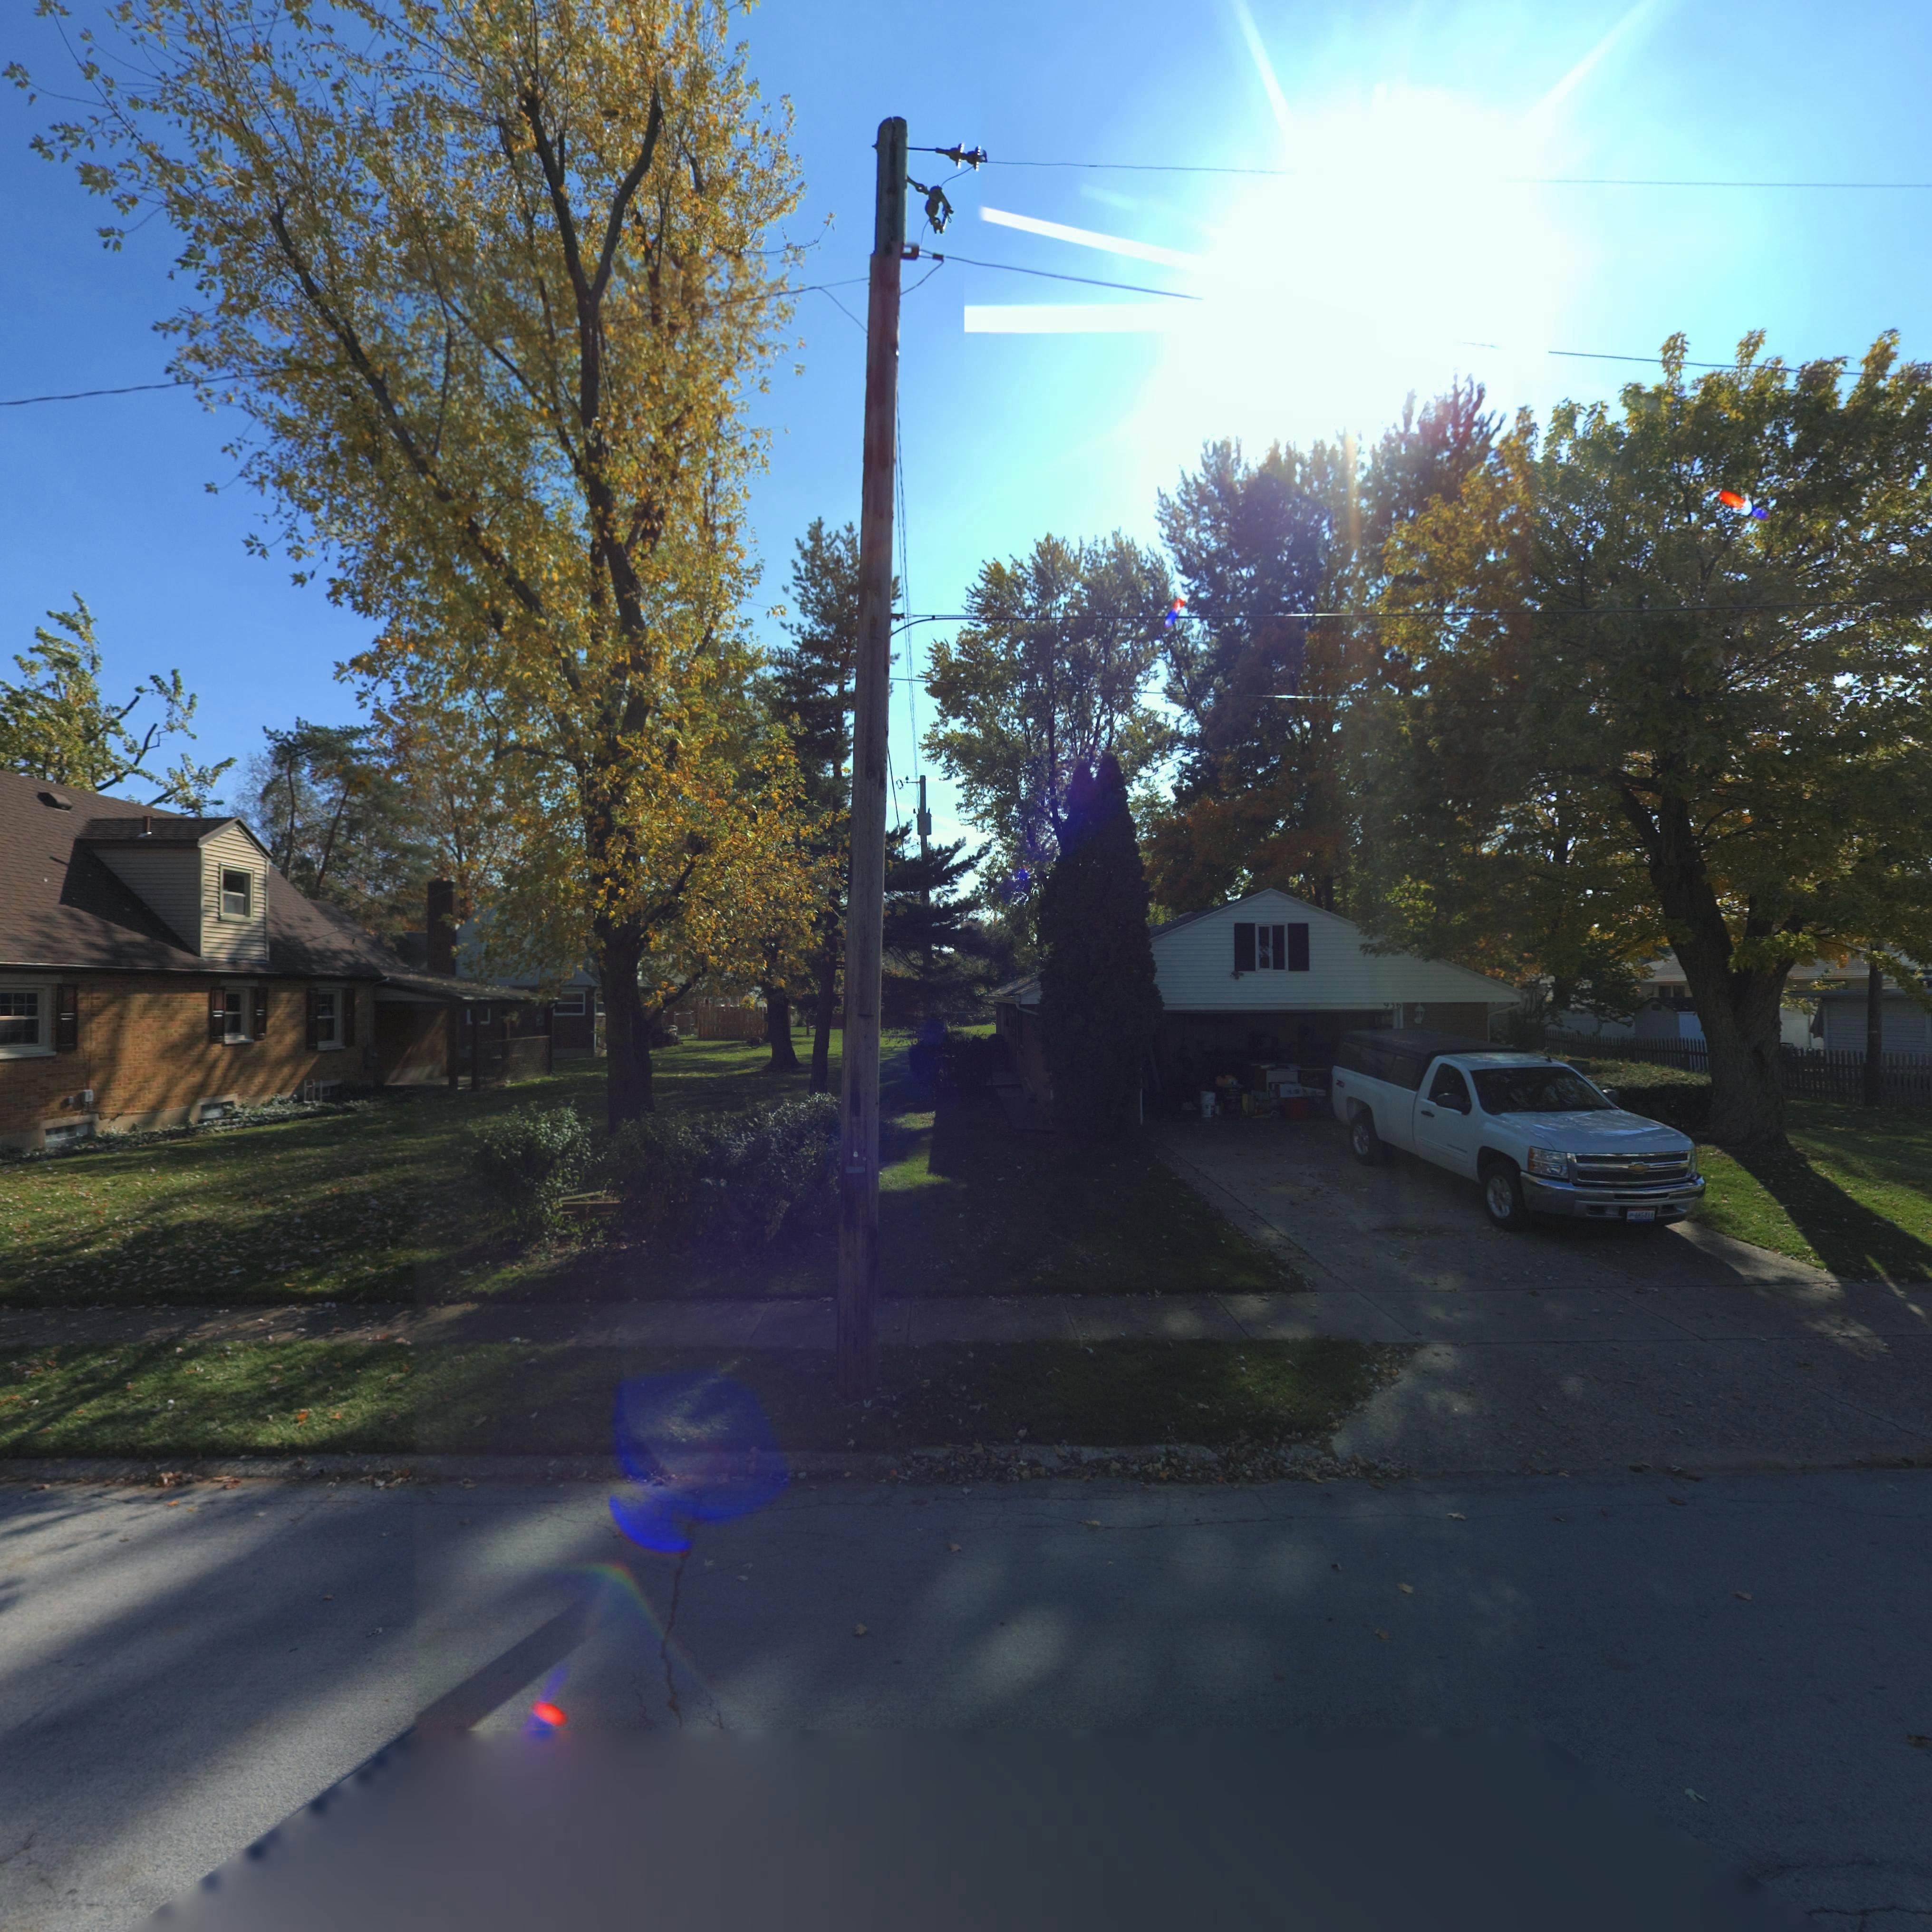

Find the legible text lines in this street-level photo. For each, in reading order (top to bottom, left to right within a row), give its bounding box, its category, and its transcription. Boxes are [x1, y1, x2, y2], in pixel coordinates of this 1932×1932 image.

[1383, 1002, 1402, 1009] StreetNumber: **6
[1634, 1211, 1654, 1219] None: *K64**